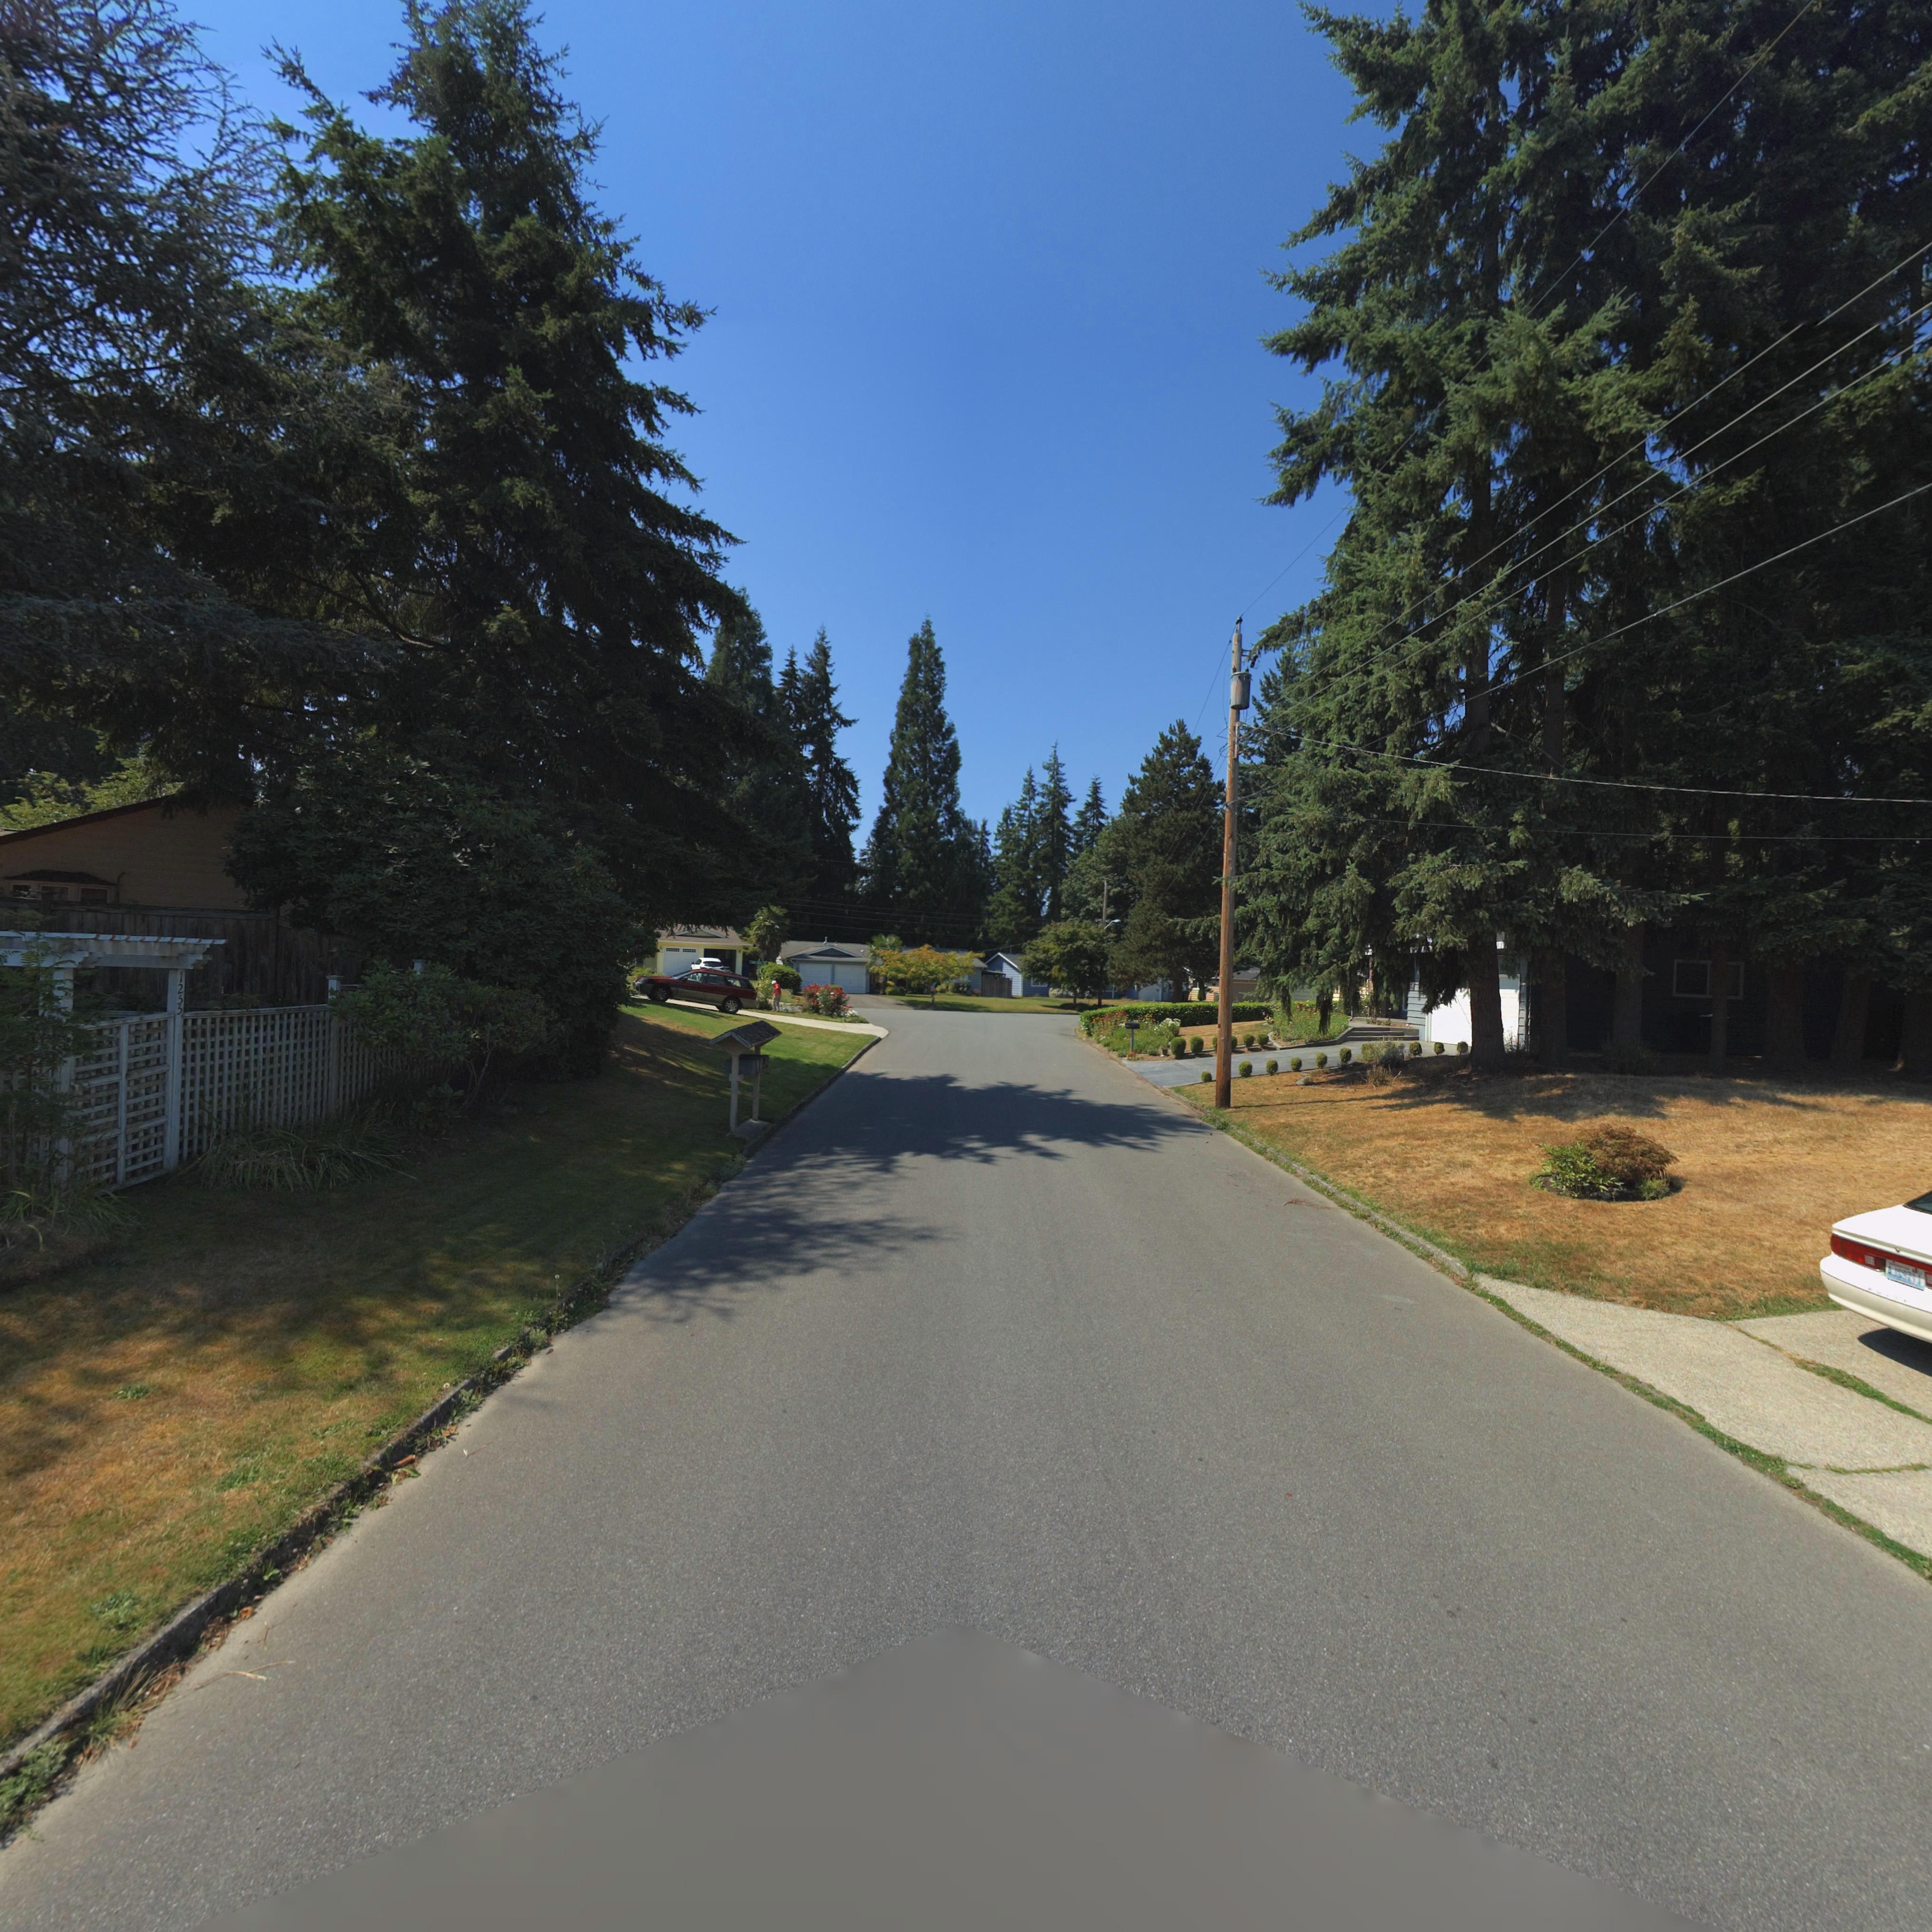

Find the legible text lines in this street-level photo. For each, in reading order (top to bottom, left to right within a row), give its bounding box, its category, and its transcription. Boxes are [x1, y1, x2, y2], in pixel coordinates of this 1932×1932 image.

[175, 970, 184, 1014] StreetNumber: 1255